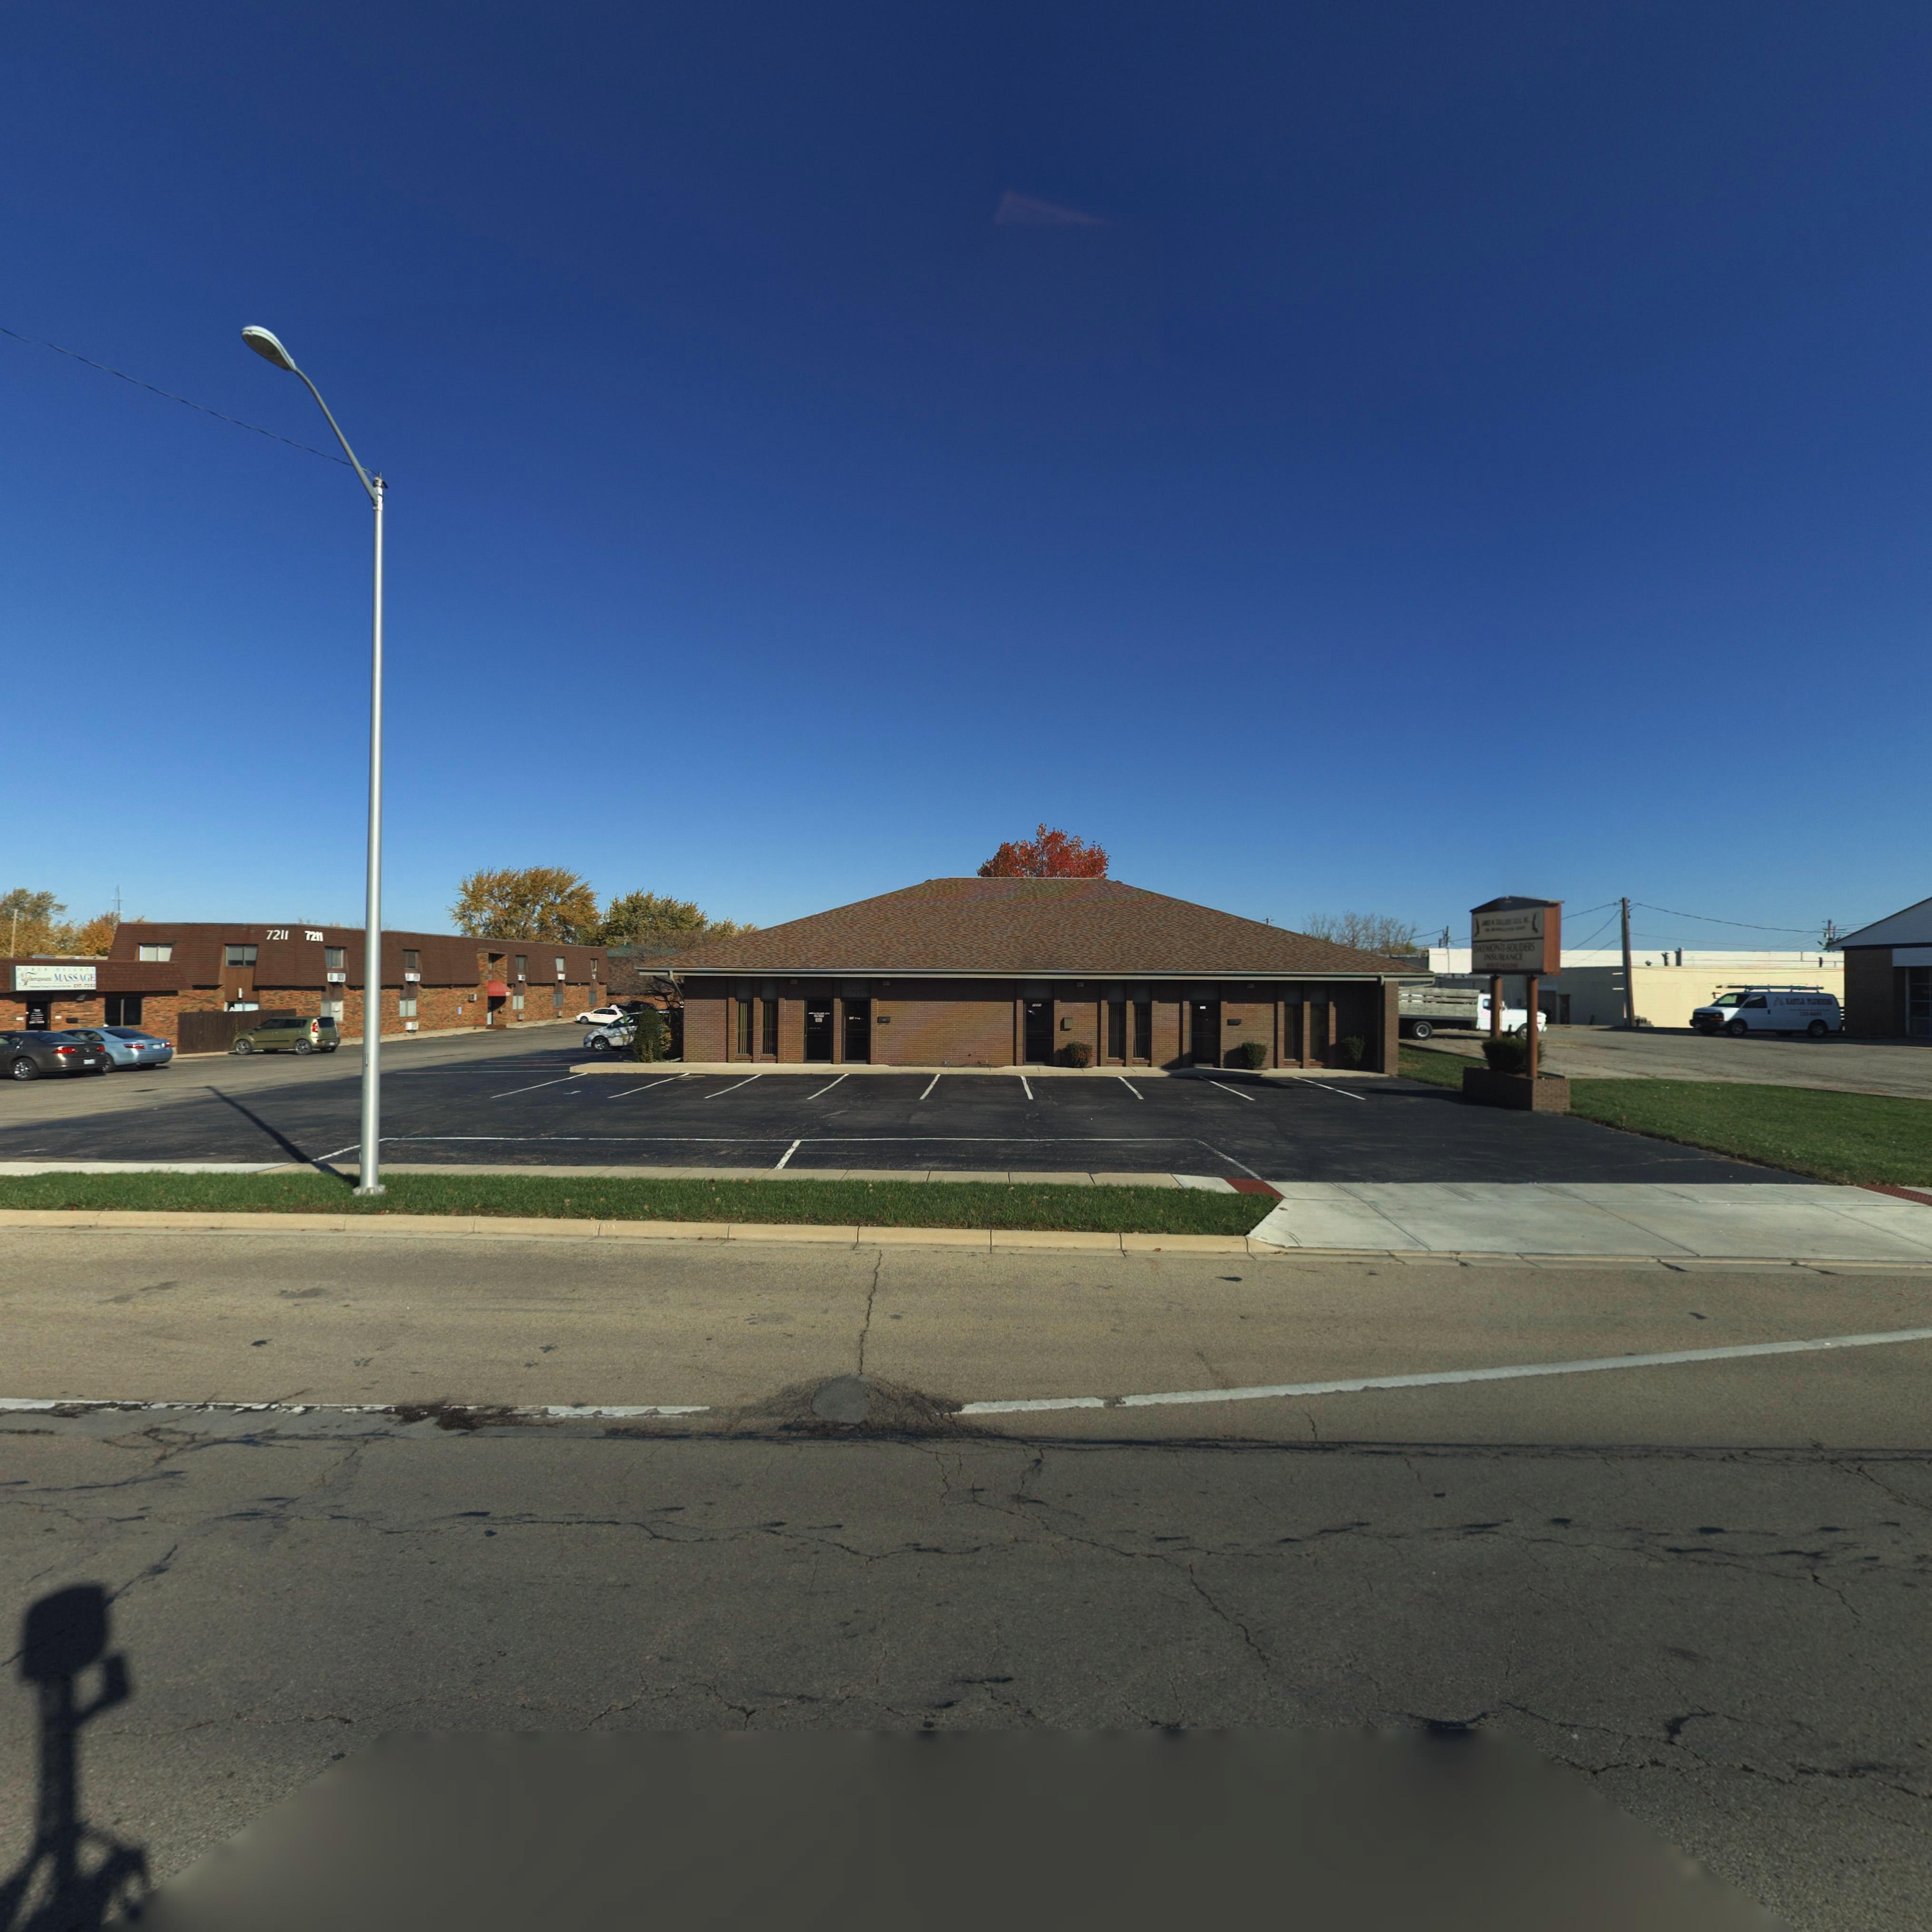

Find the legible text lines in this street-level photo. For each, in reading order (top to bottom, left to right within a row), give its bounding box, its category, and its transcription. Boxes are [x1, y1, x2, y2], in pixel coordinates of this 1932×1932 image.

[265, 928, 290, 941] StreetNumber: 7211
[303, 930, 324, 943] StreetNumber: 7211
[1472, 941, 1536, 954] BusinessName: DAYMON*T-SOUDERS
[1483, 952, 1524, 961] BusinessName: INSU*ANCE
[53, 973, 96, 982] BusinessName: MASSAGE